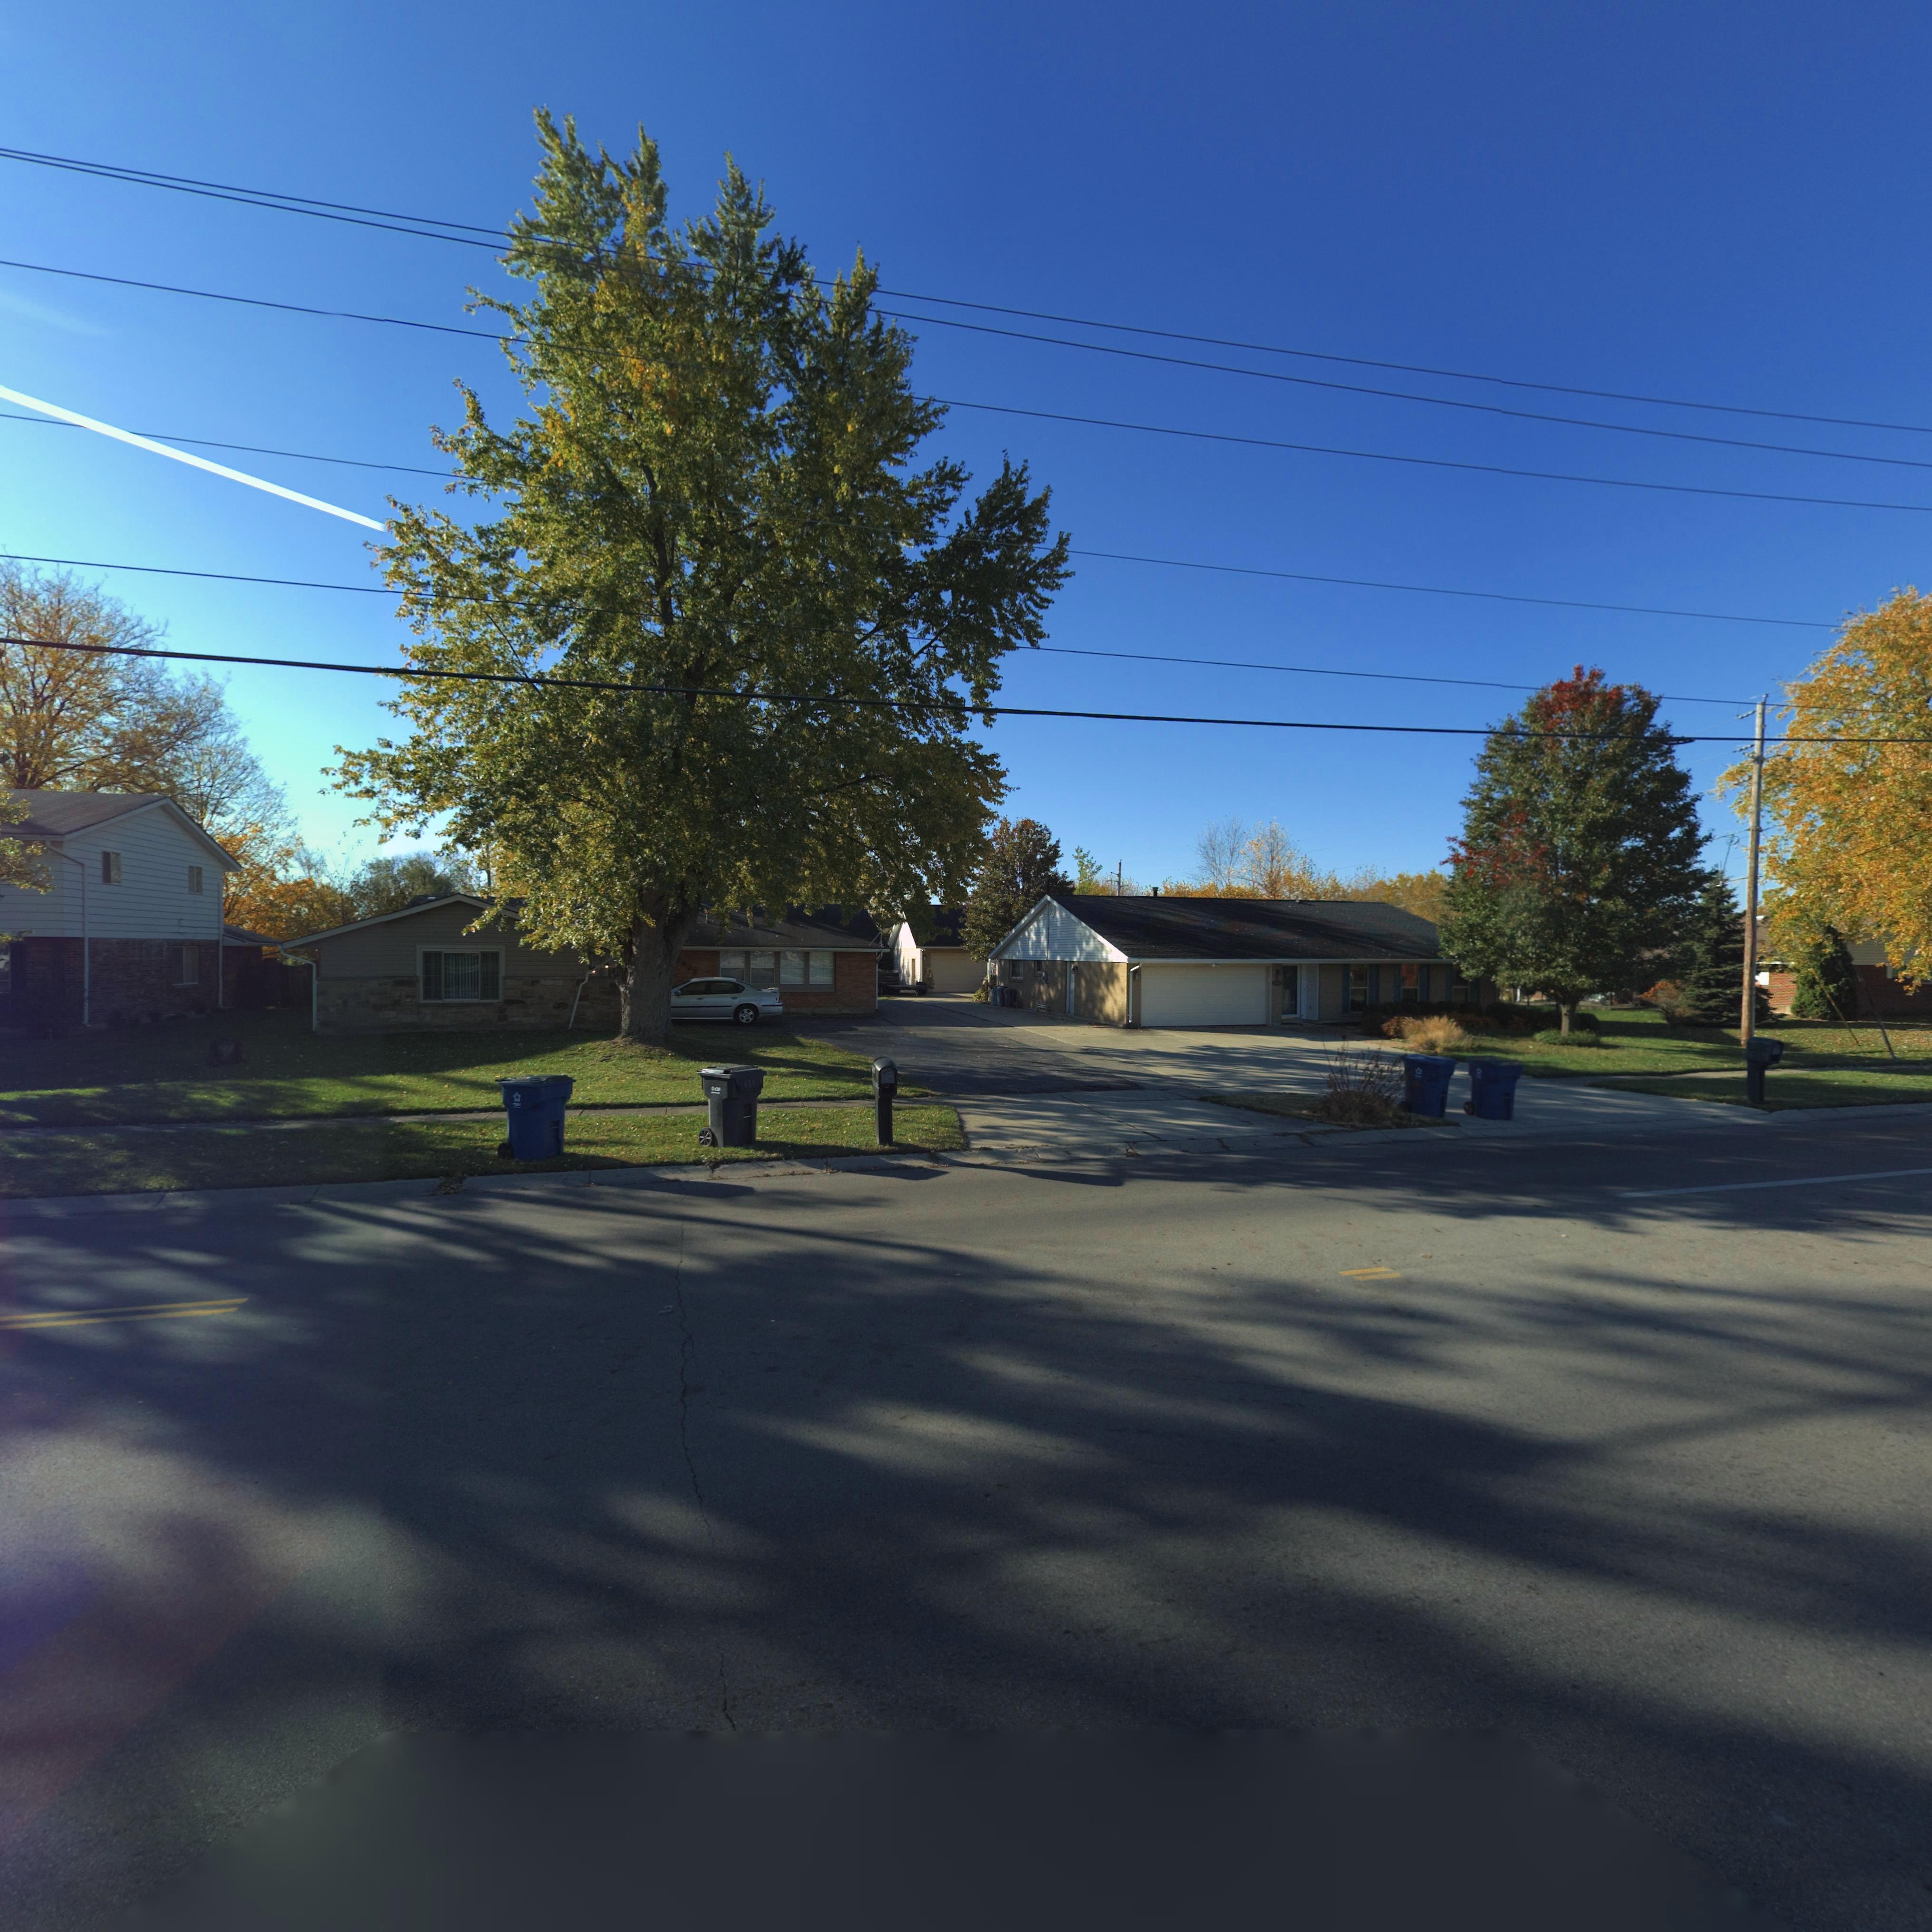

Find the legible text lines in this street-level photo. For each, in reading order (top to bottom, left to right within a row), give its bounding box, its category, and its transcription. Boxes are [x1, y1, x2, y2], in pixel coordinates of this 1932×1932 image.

[681, 960, 697, 975] StreetNumber: 920